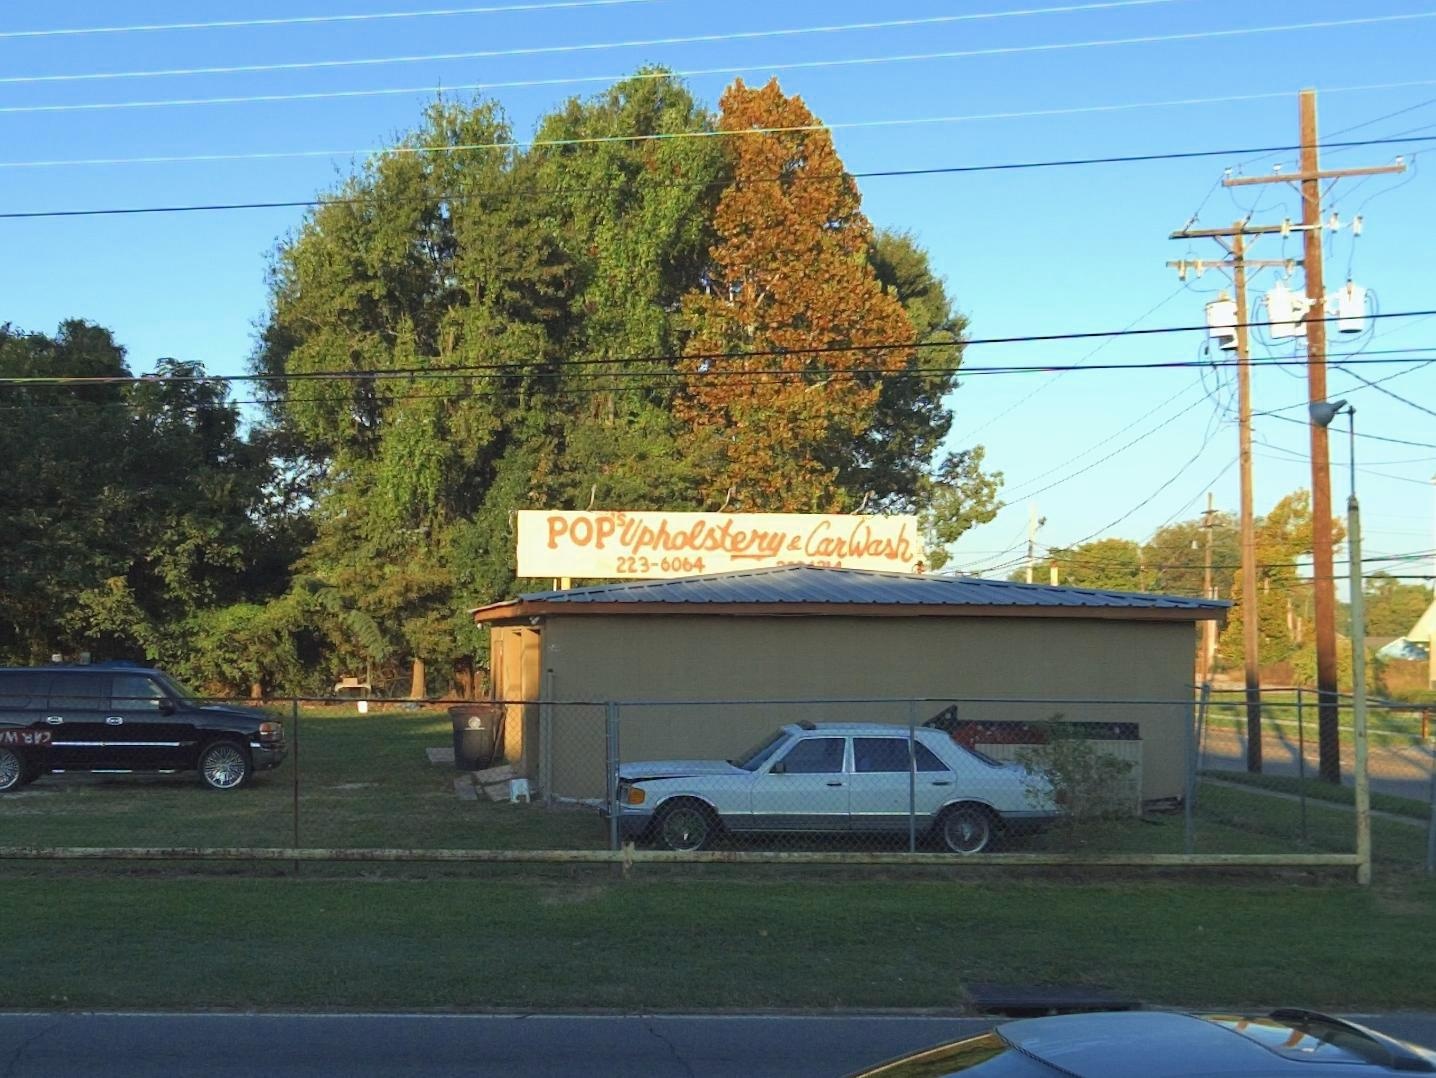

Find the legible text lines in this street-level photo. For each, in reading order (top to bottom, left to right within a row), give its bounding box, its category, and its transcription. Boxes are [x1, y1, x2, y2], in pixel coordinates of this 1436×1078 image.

[613, 553, 708, 576] None: 223-6064
[545, 510, 917, 565] BusinessName: POP's Upholstery & CarWash